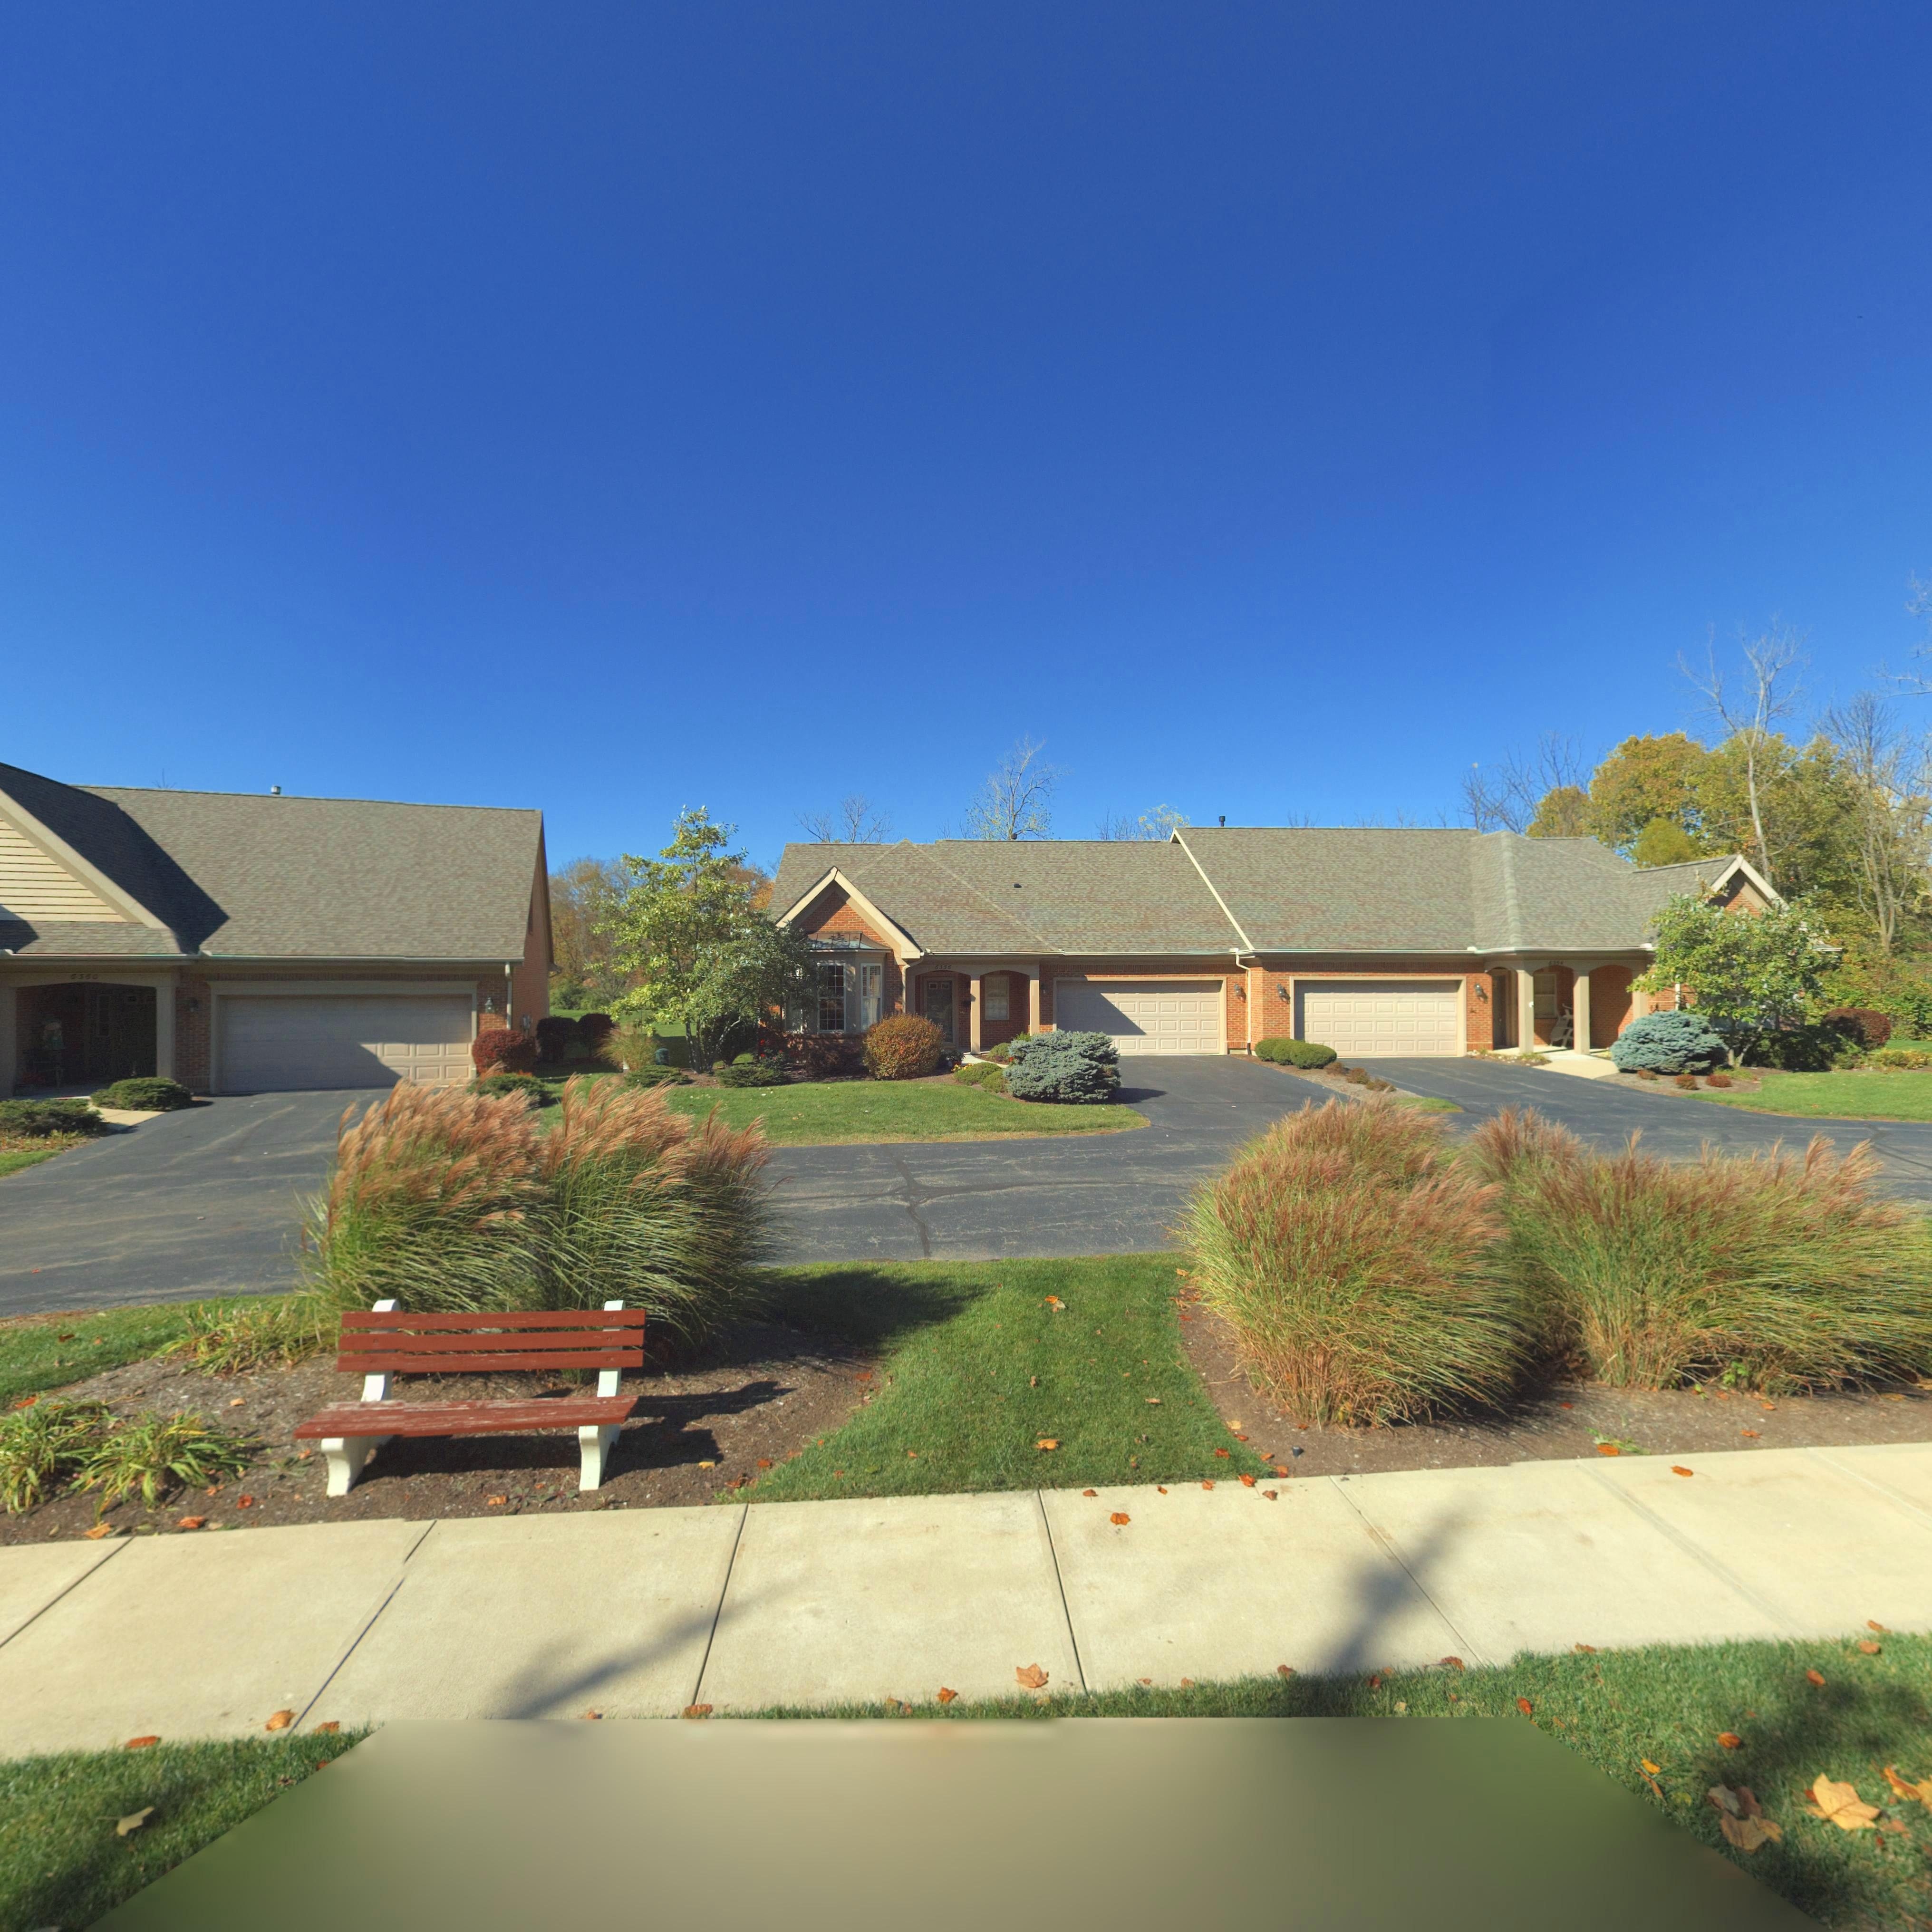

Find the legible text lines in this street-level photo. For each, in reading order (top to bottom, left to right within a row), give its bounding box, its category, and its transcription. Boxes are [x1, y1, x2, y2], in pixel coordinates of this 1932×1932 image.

[934, 964, 952, 970] StreetNumber: 6356
[68, 972, 100, 981] StreetNumber: 6*60